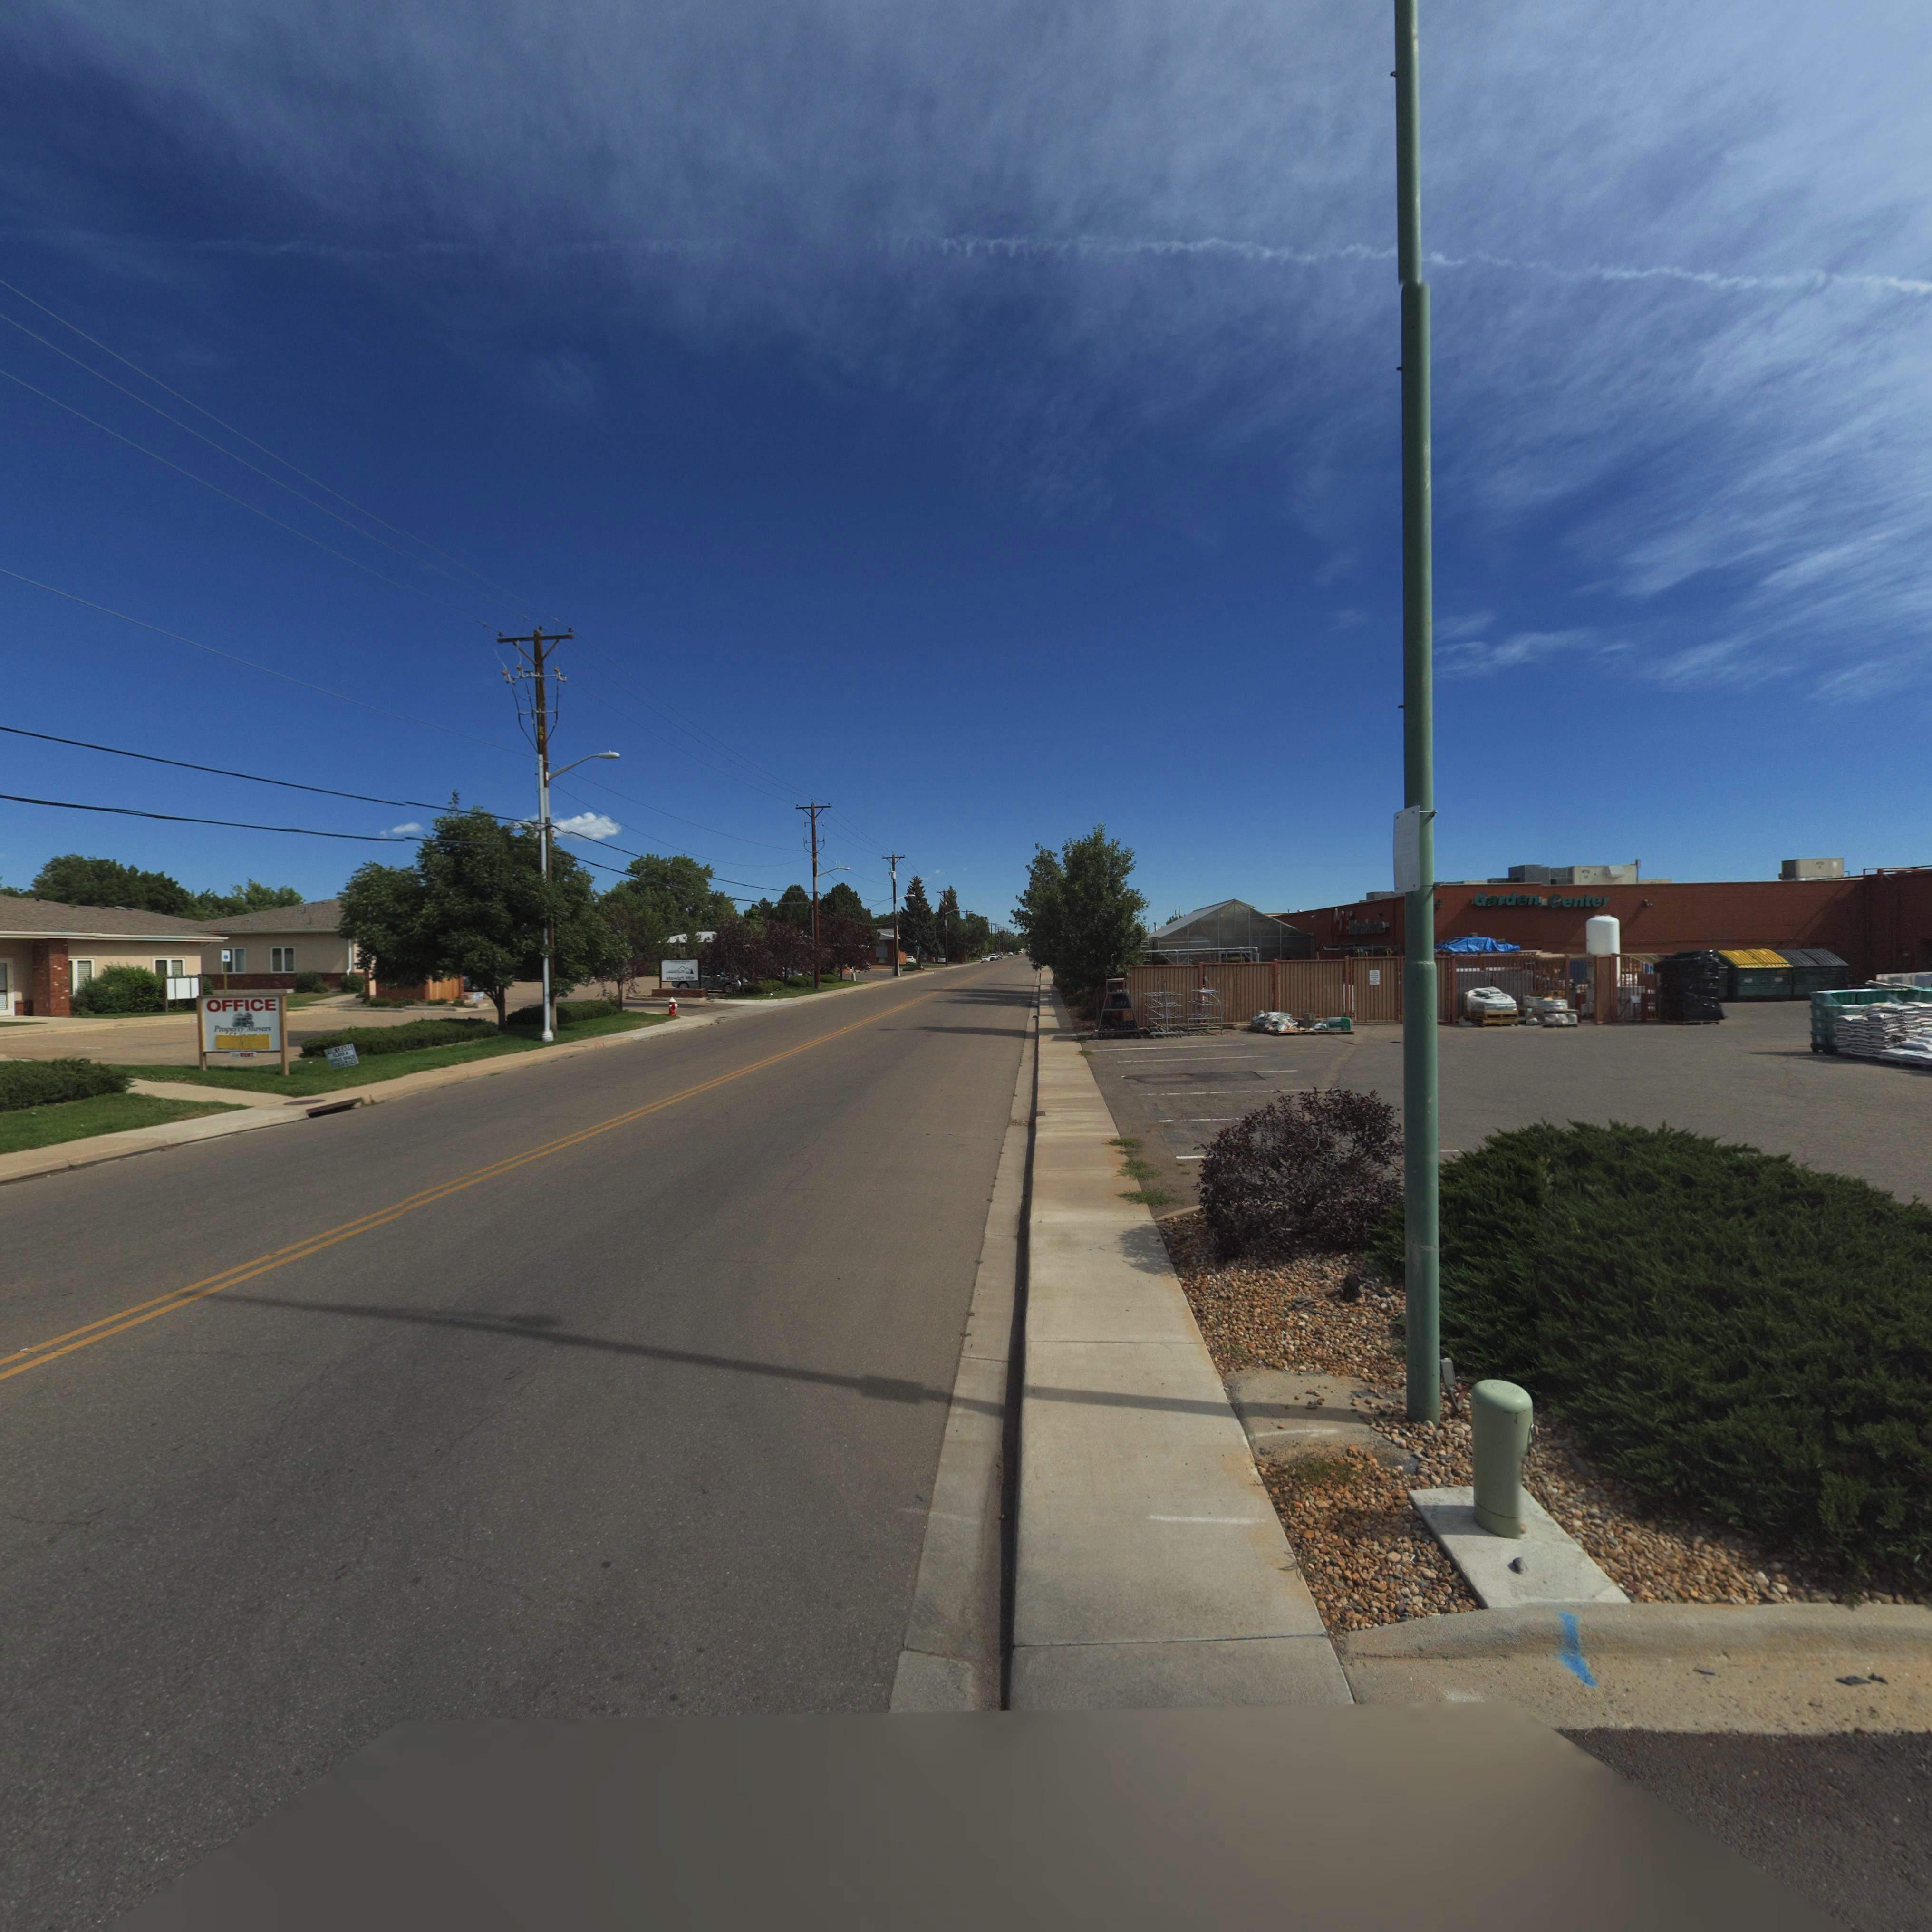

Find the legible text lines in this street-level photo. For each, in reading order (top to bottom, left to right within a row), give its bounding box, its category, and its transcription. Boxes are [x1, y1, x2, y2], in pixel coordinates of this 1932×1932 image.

[1328, 910, 1385, 936] BusinessName: *CE Hardware